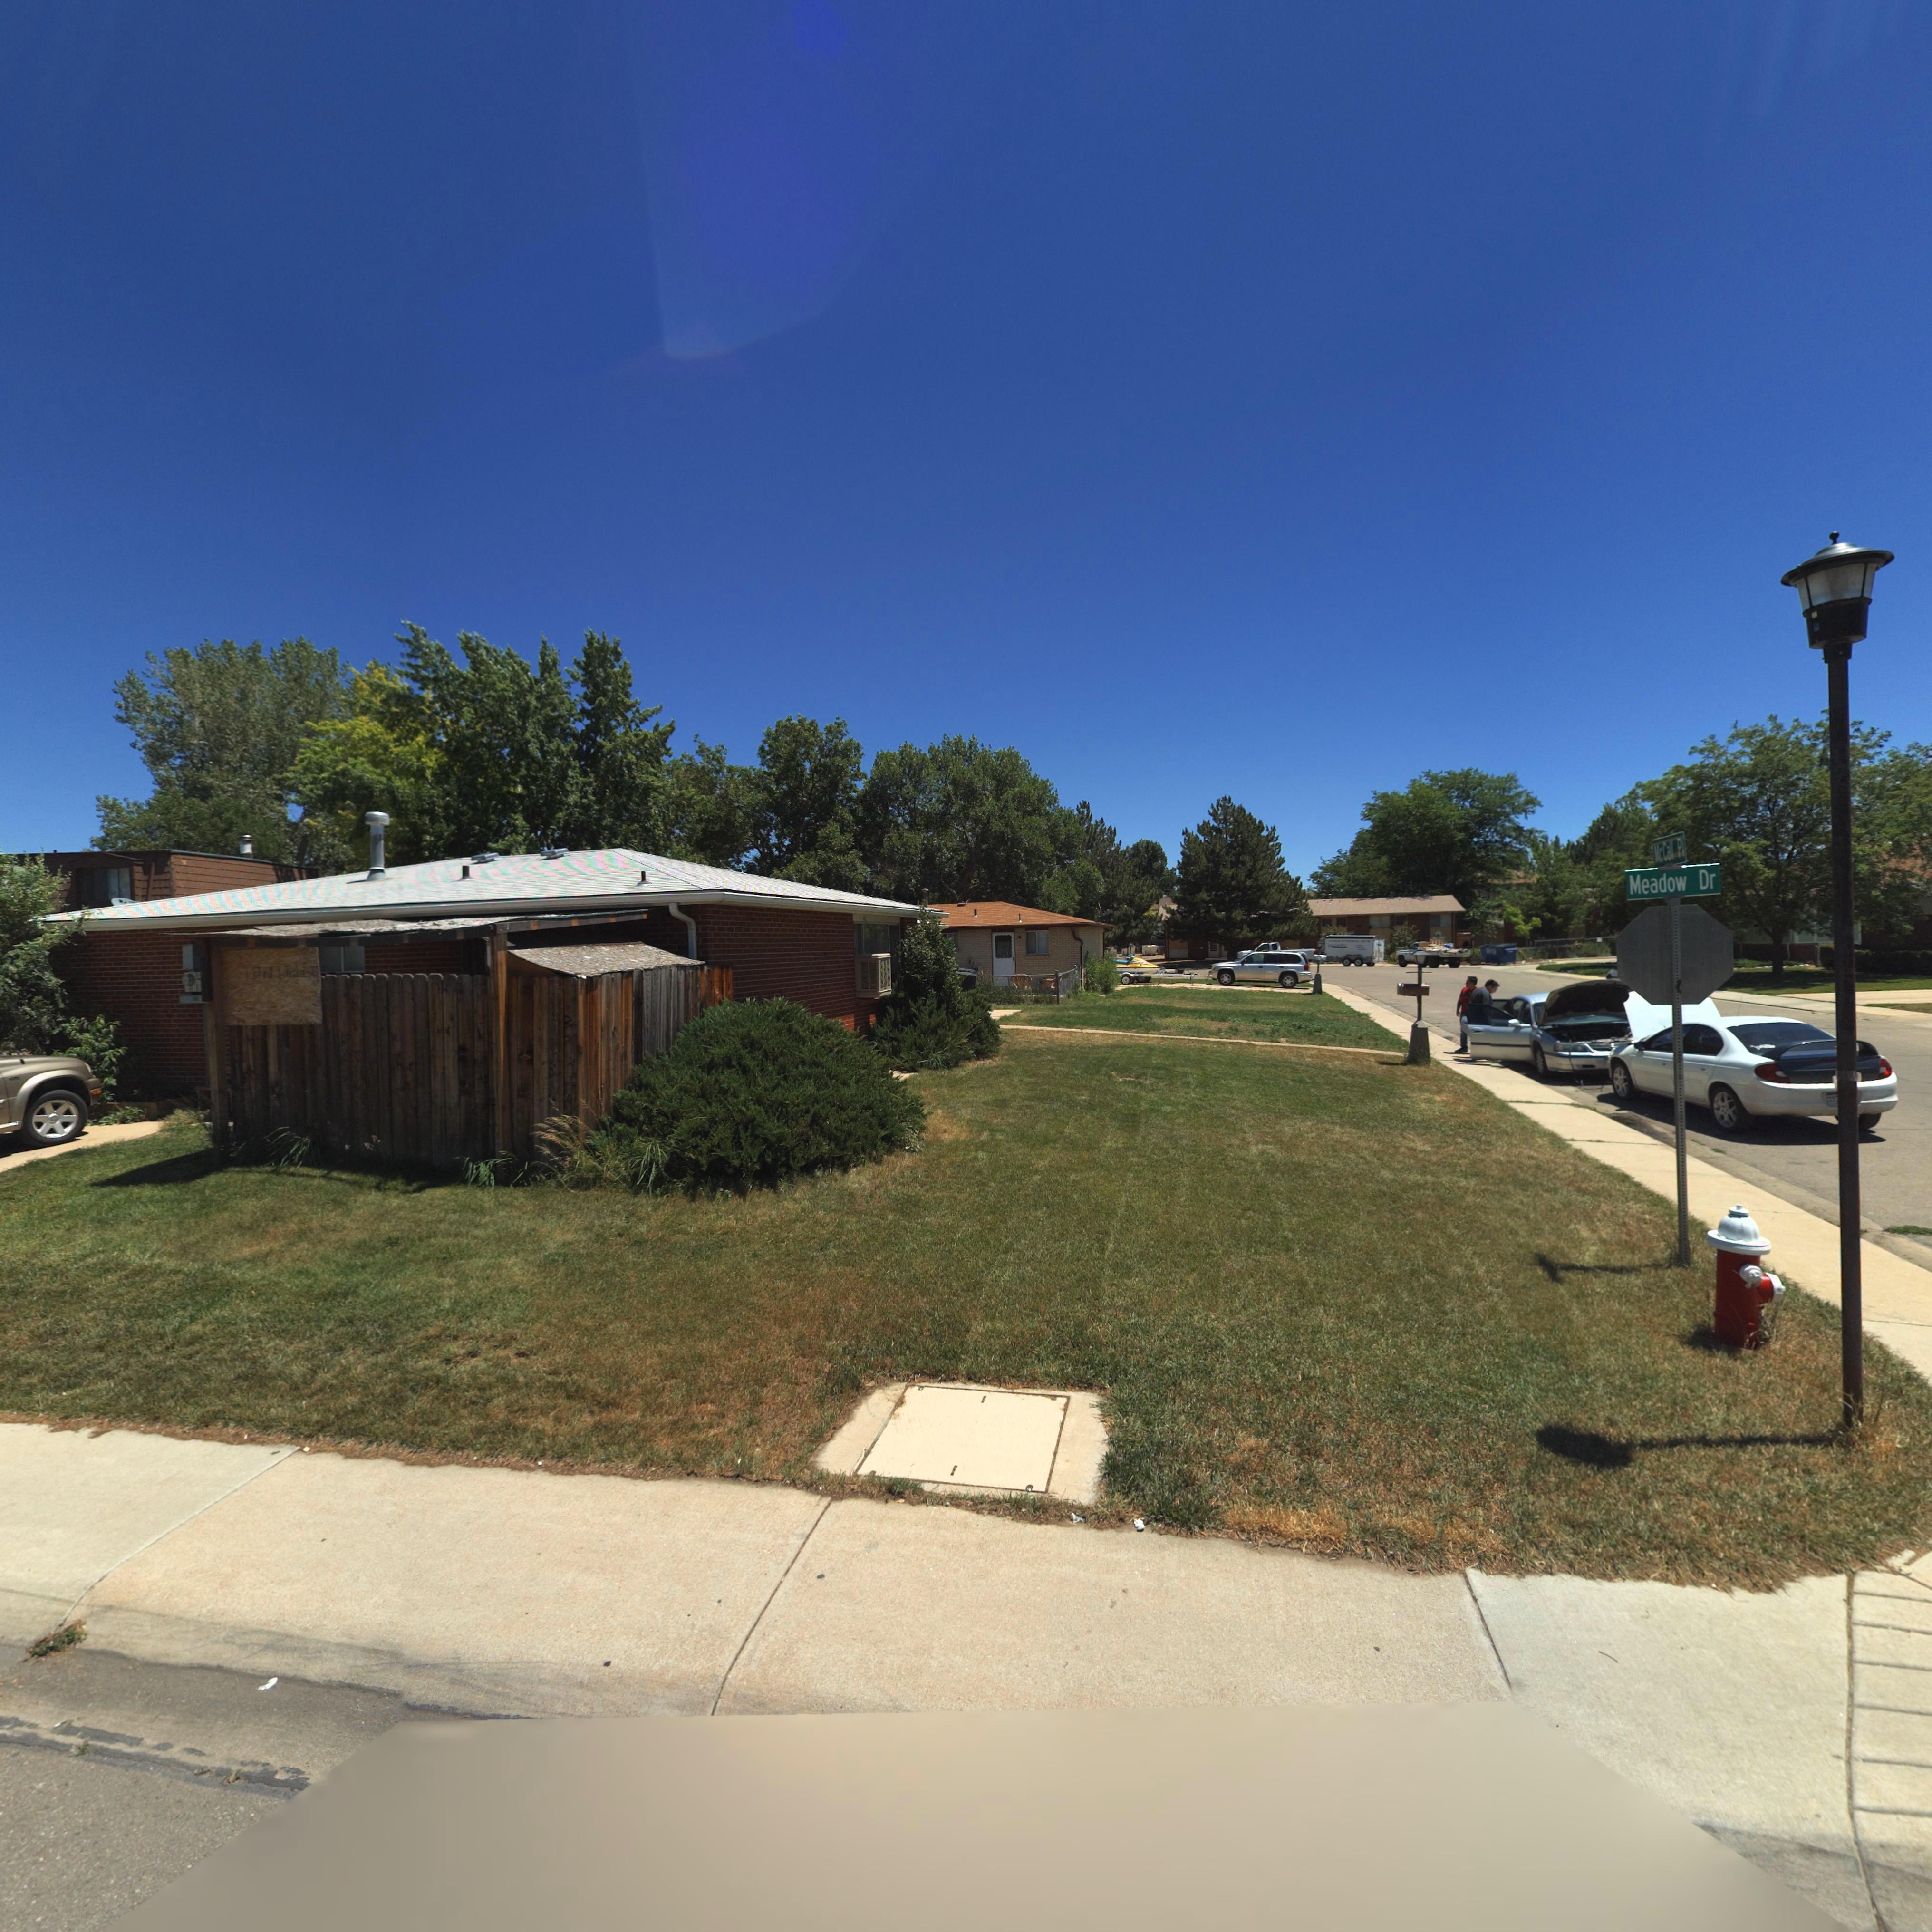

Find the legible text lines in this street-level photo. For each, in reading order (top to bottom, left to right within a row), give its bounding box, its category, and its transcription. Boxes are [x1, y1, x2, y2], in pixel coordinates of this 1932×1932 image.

[1653, 836, 1685, 865] StreetName: McCall Pl
[1629, 869, 1716, 895] StreetName: Meadow Dr